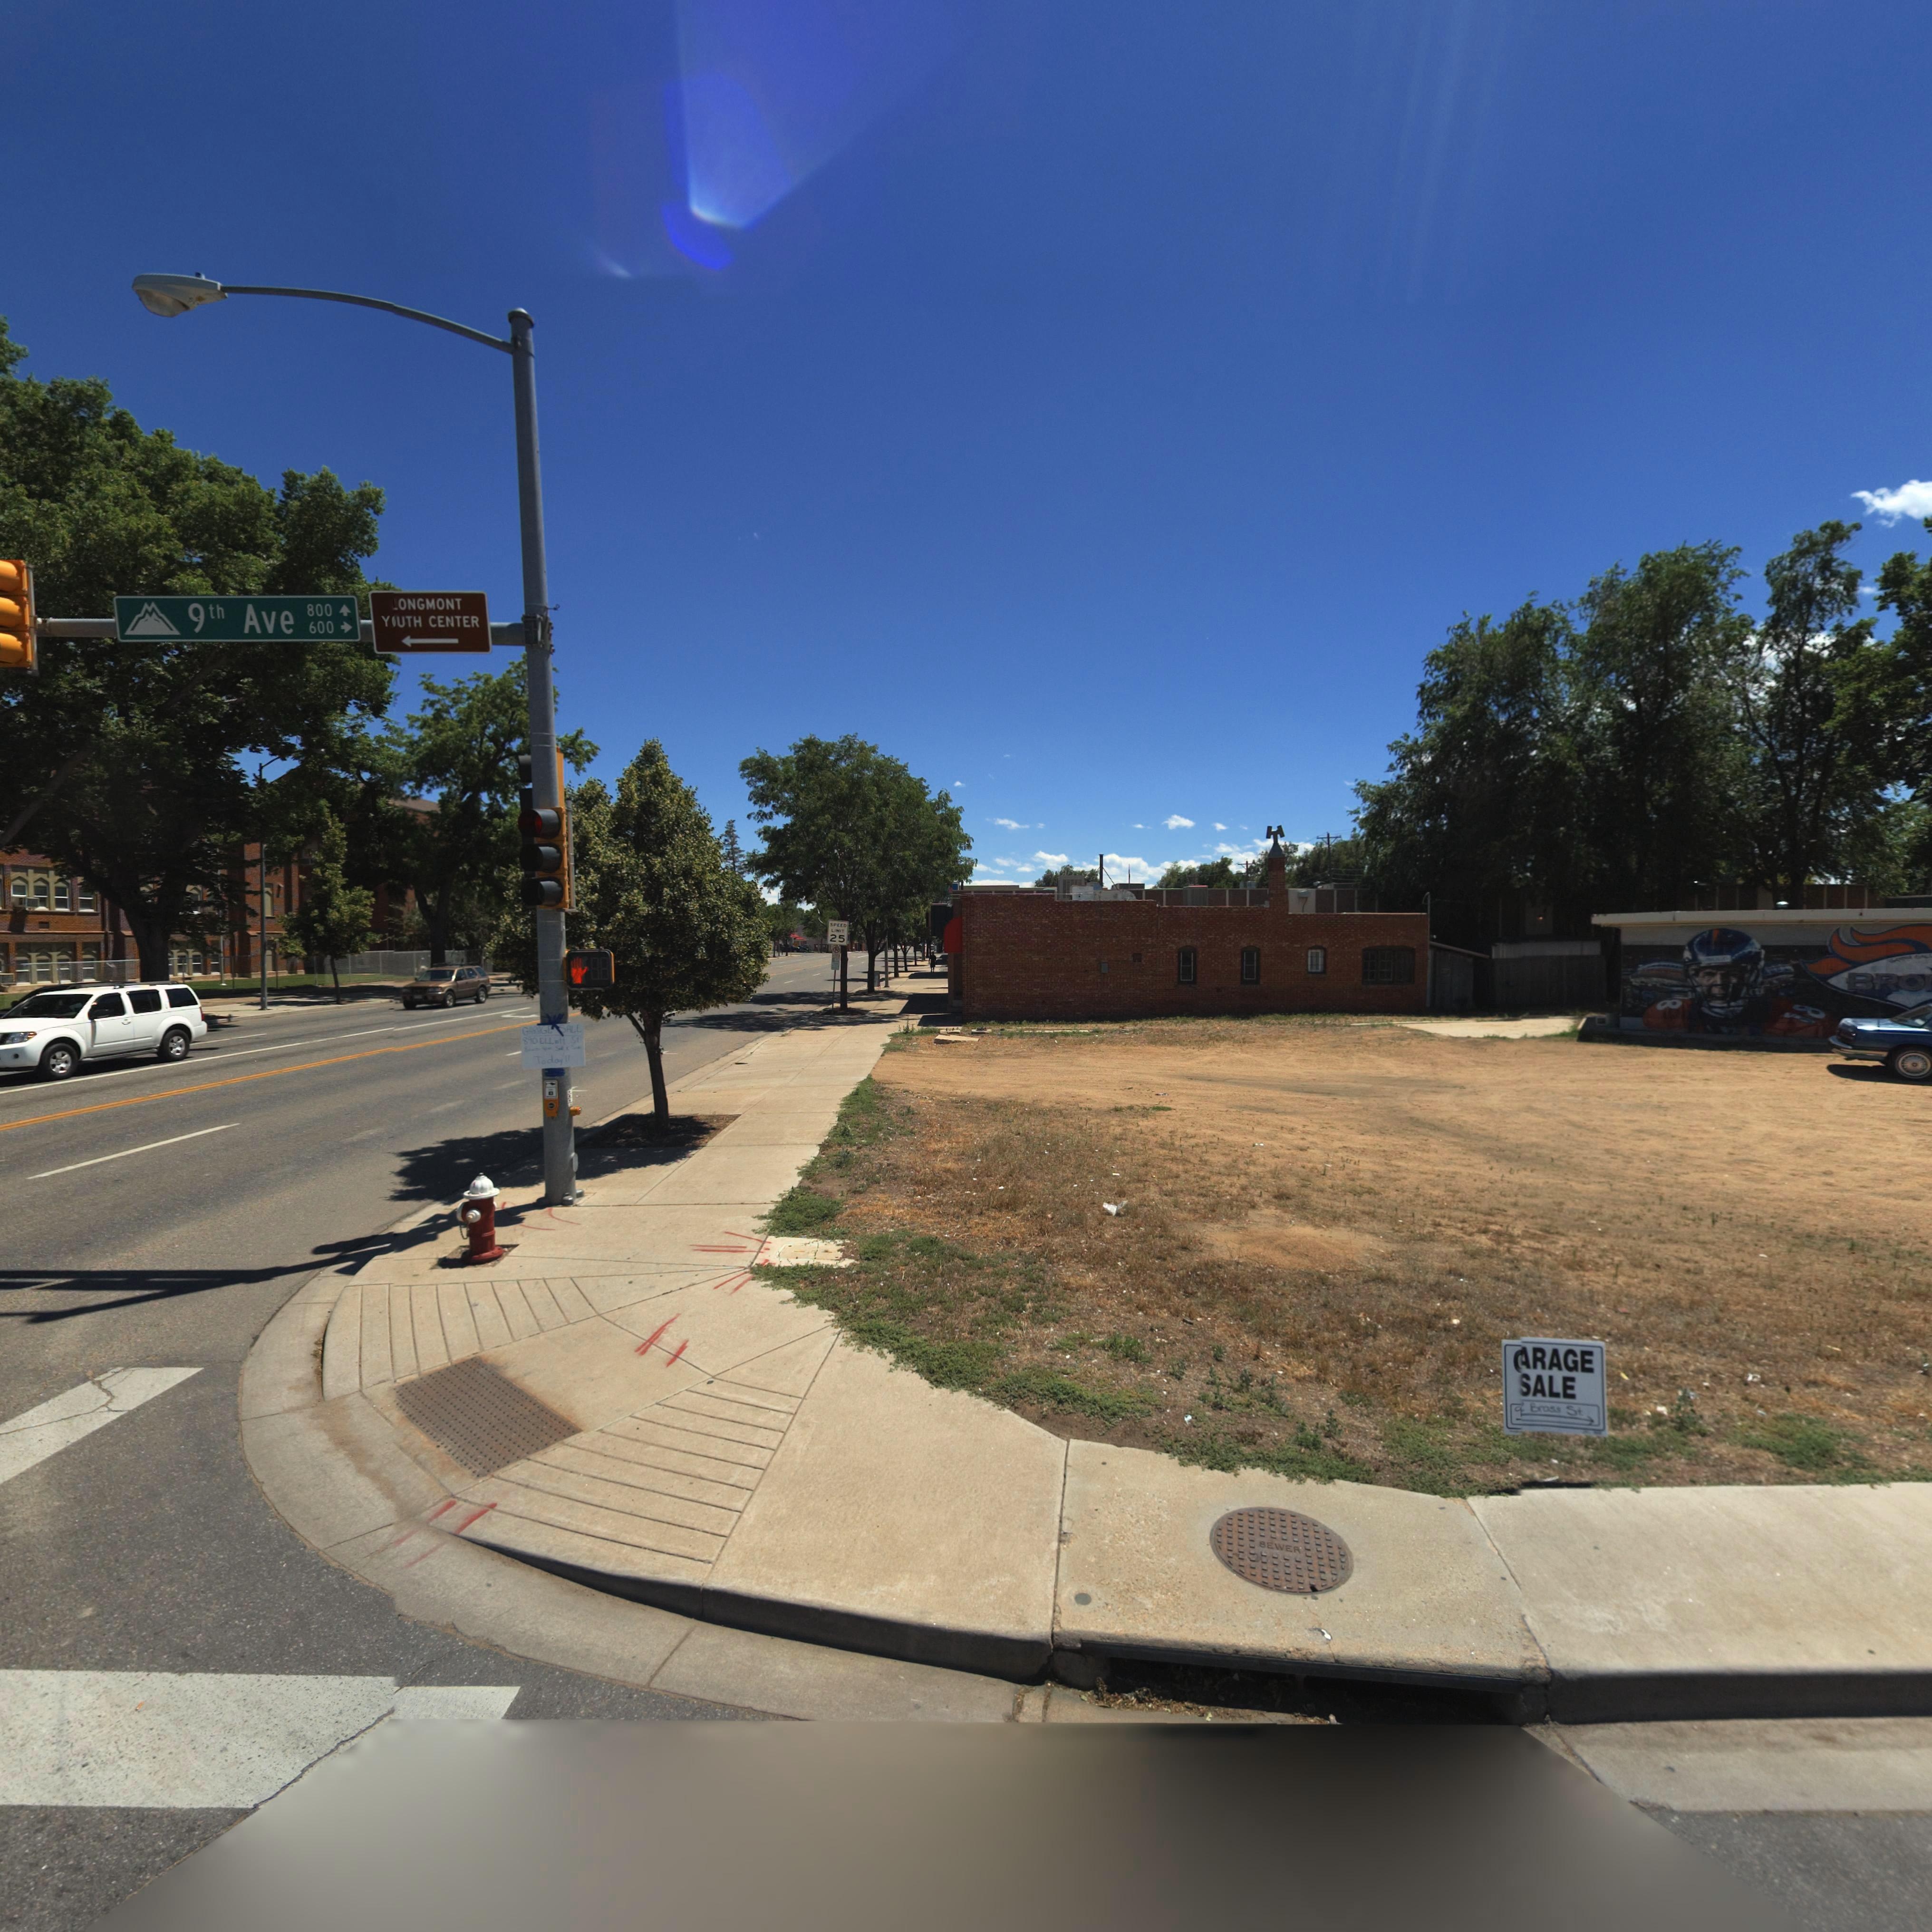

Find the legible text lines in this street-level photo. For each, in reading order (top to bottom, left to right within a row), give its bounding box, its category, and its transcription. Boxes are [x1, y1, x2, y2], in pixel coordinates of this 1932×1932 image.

[306, 603, 332, 618] StreetNumberRange: 800
[187, 602, 295, 635] StreetName: 9th Ave
[308, 620, 353, 634] StreetNumberRange: 600 ->